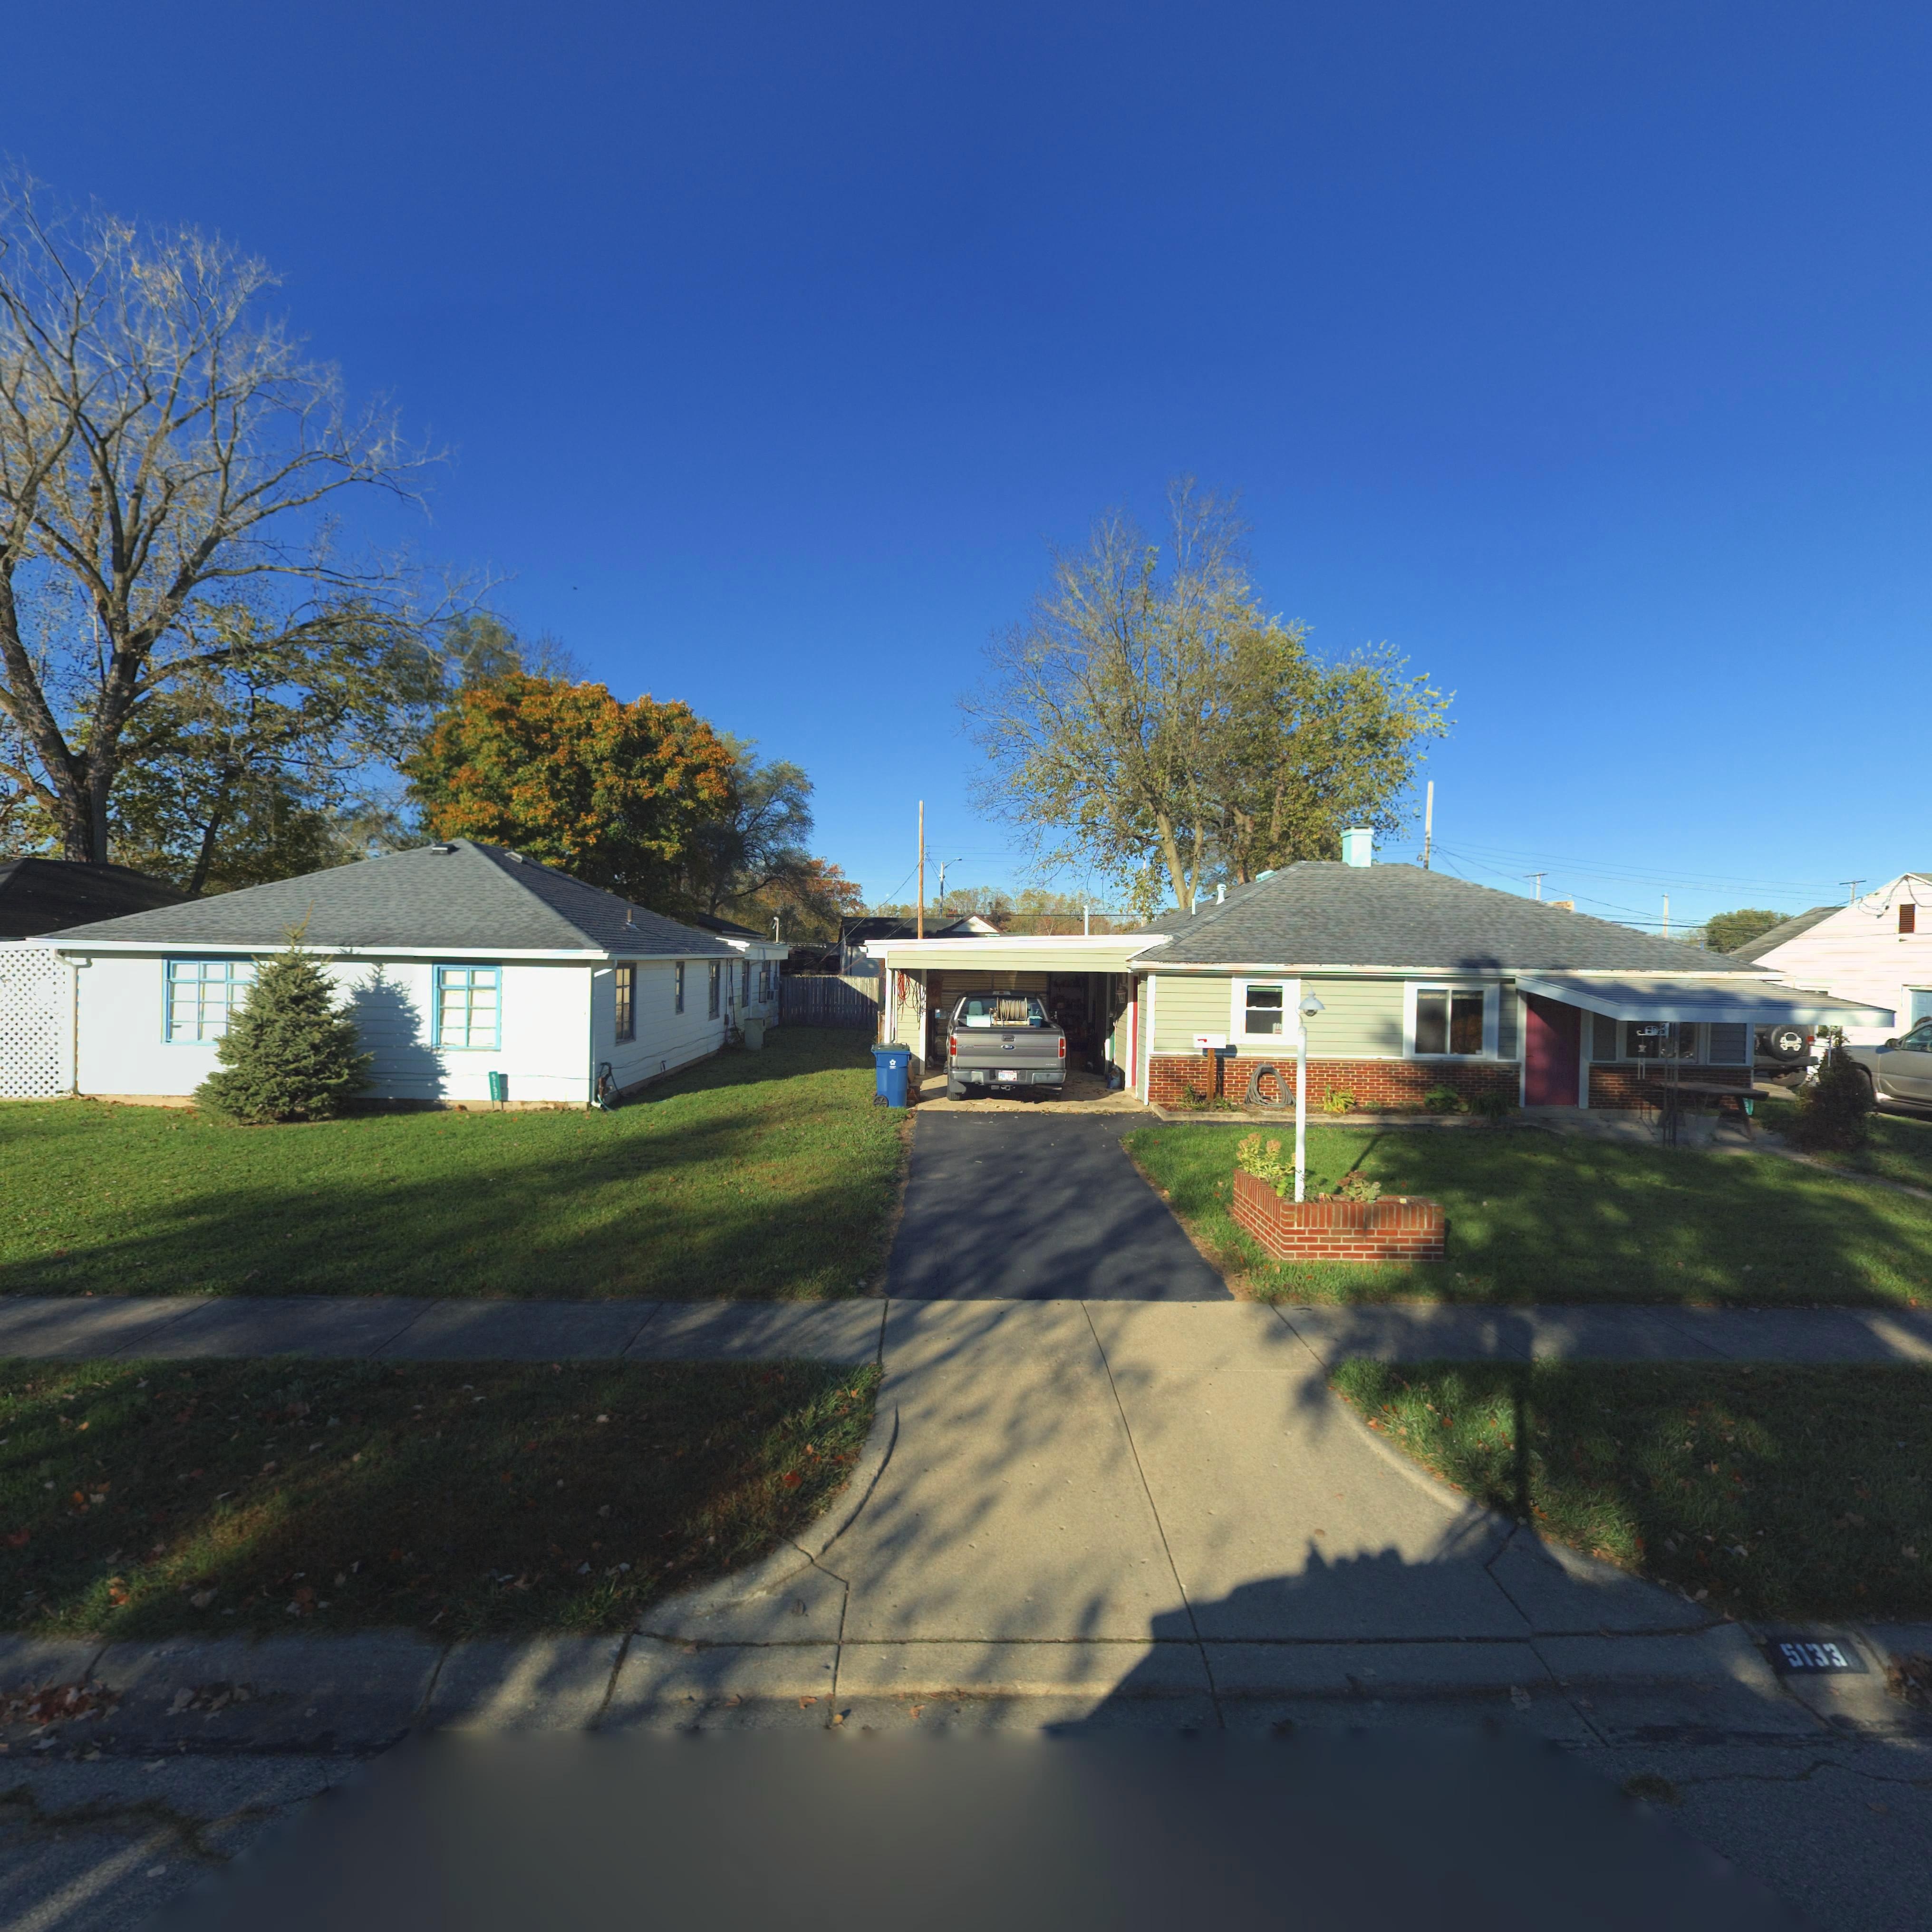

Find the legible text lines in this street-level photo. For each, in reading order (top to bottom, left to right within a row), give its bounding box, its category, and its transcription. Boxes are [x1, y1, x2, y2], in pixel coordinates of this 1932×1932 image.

[491, 1073, 498, 1100] StreetNumber: 5137
[1744, 1101, 1750, 1108] StreetNumber: 3
[1777, 1642, 1850, 1667] StreetNumber: 5133